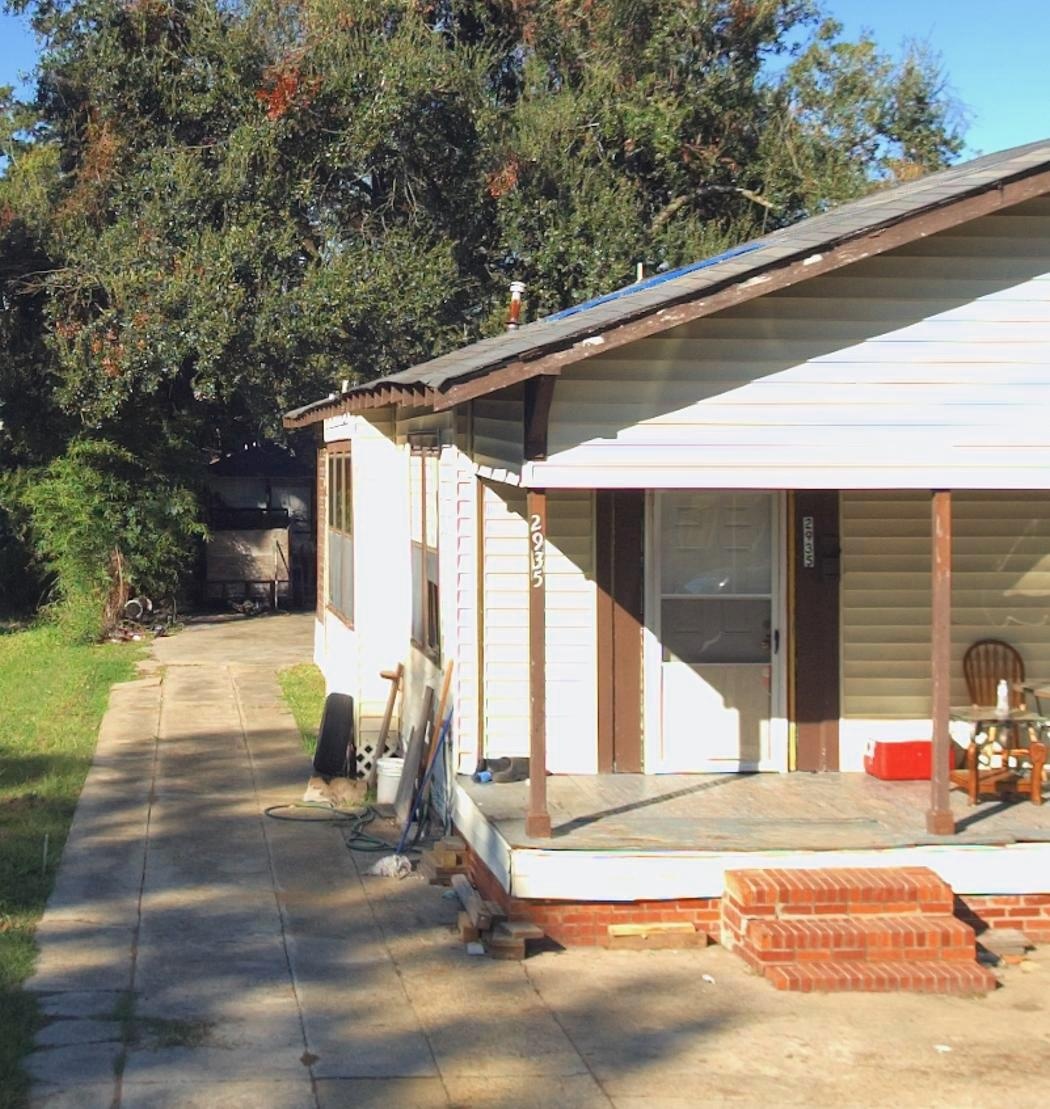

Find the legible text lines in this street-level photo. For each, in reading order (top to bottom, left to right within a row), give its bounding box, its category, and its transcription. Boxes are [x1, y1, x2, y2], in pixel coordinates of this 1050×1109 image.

[529, 512, 546, 590] StreetNumber: 2935
[803, 515, 815, 569] StreetNumber: 2935